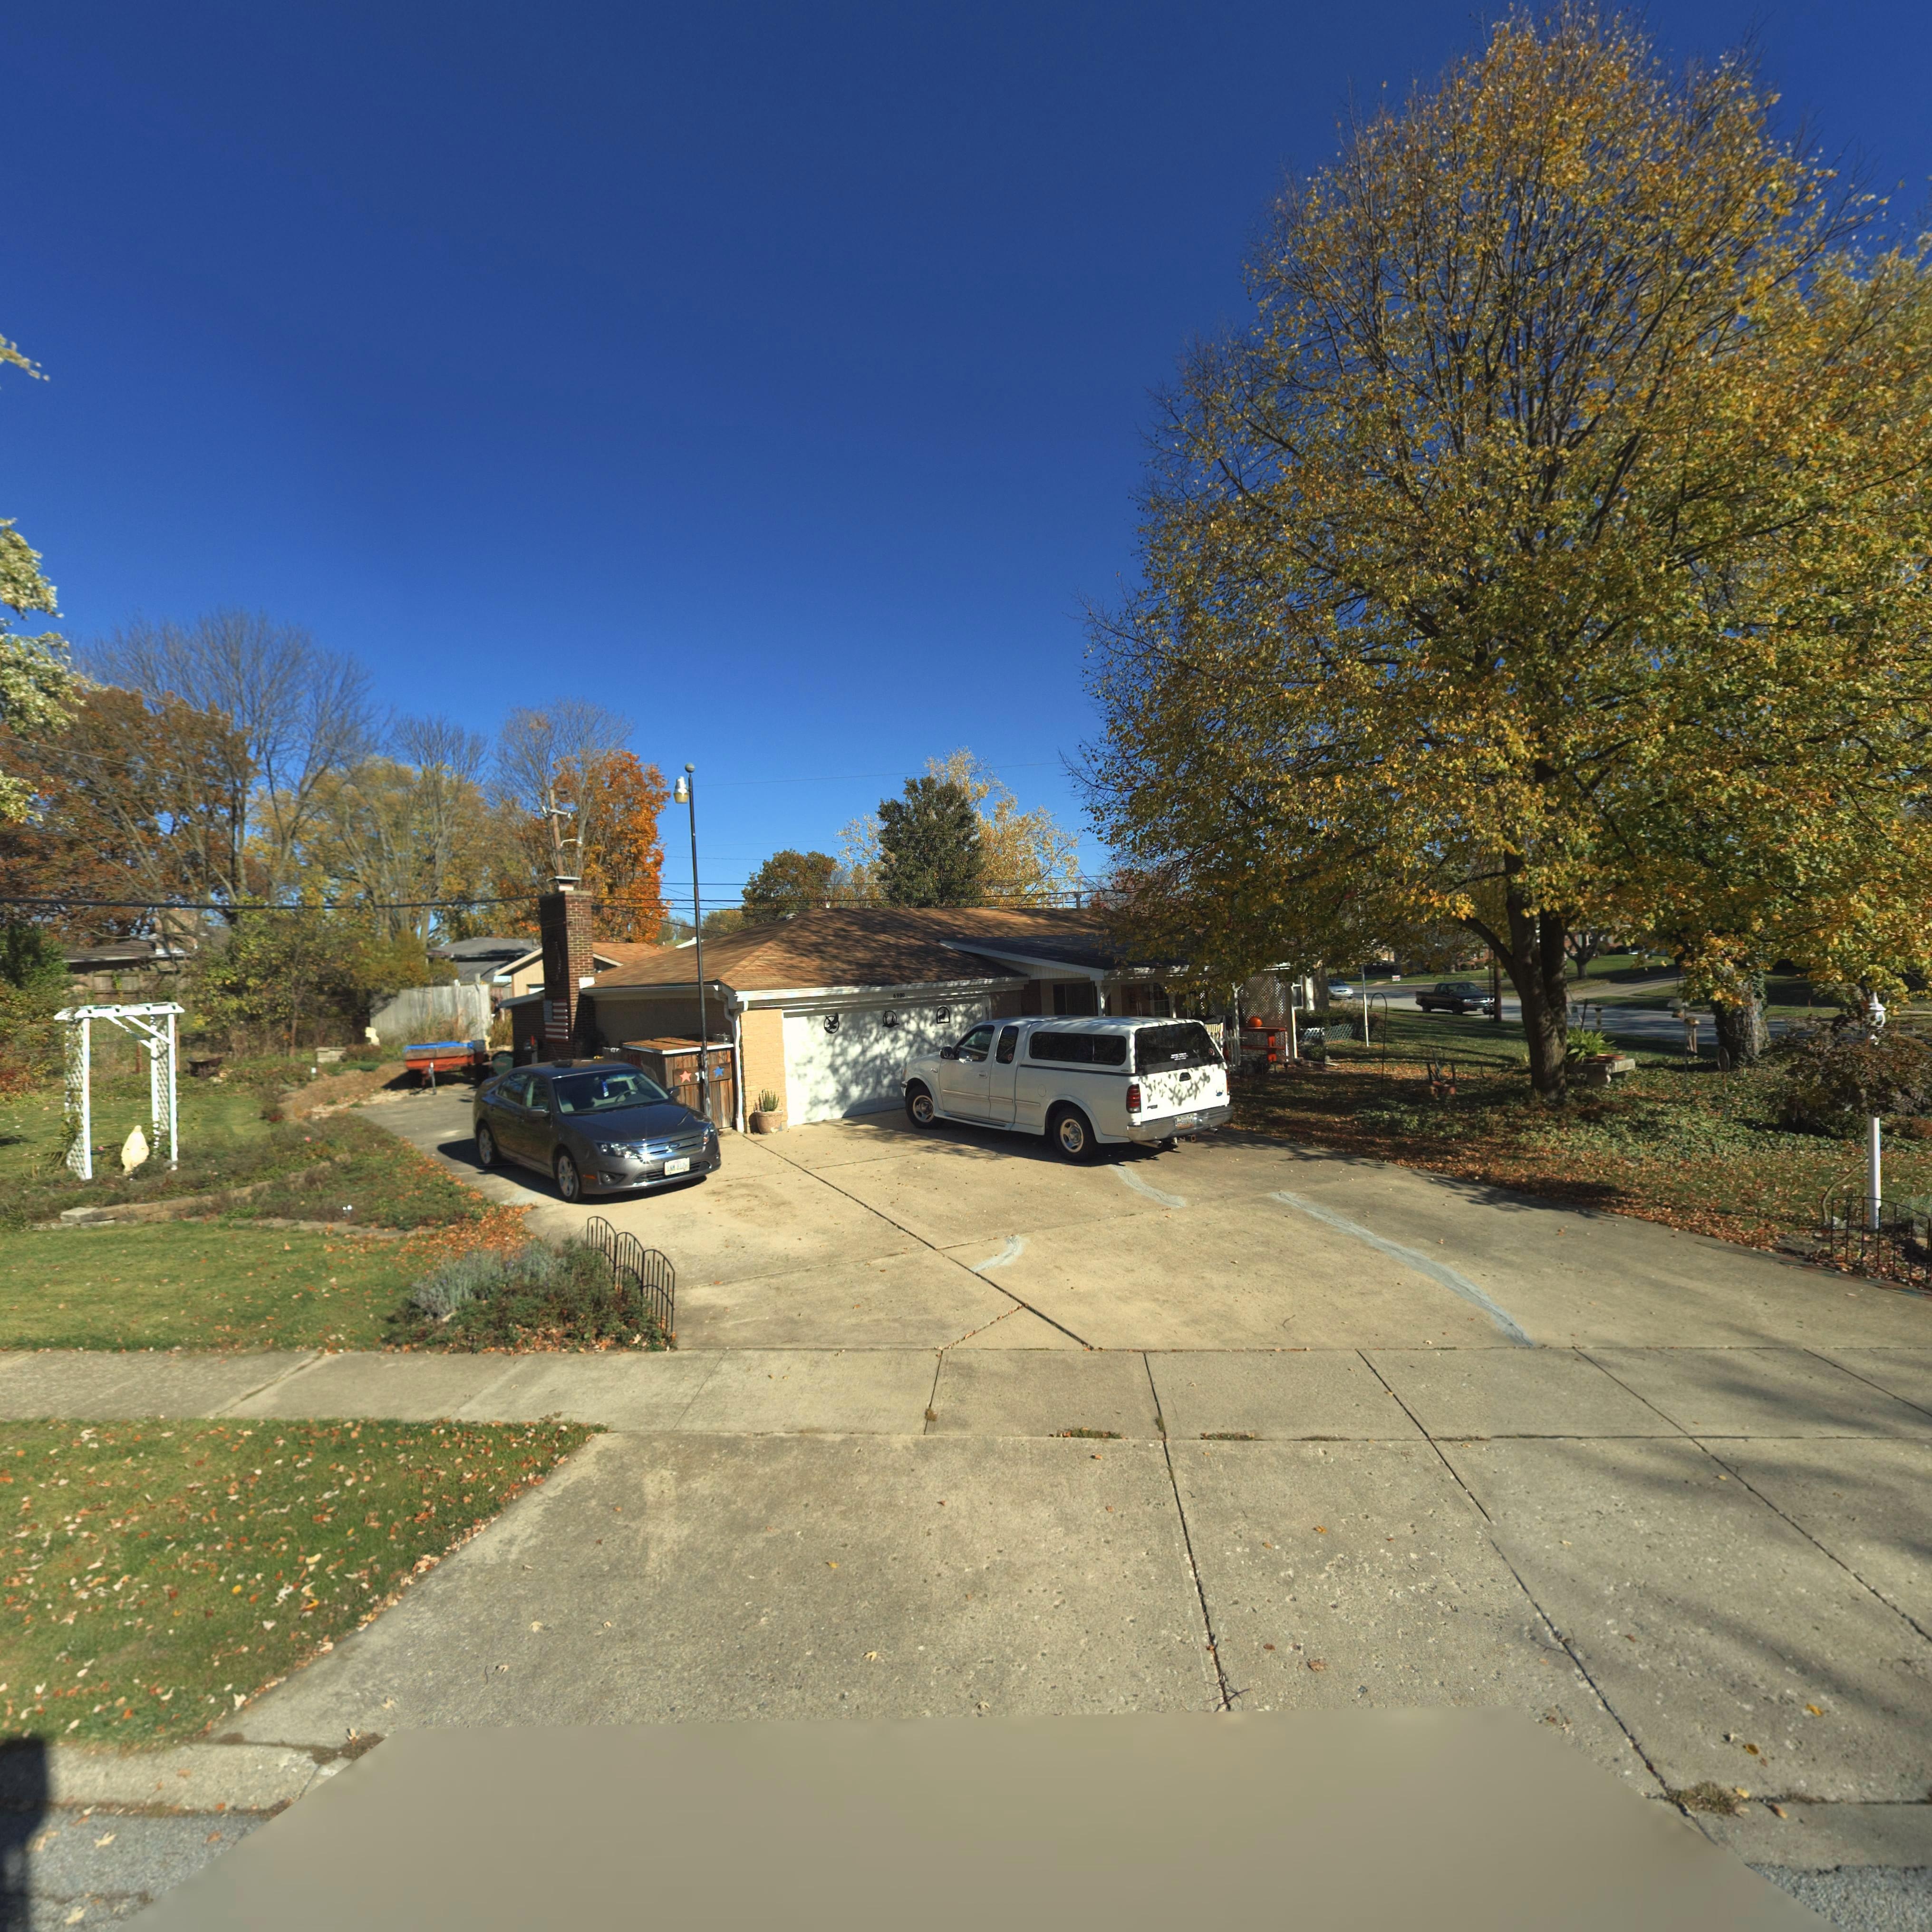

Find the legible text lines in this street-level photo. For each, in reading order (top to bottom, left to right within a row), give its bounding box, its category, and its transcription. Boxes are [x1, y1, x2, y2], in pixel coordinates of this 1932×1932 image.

[892, 993, 905, 998] StreetNumber: 6900